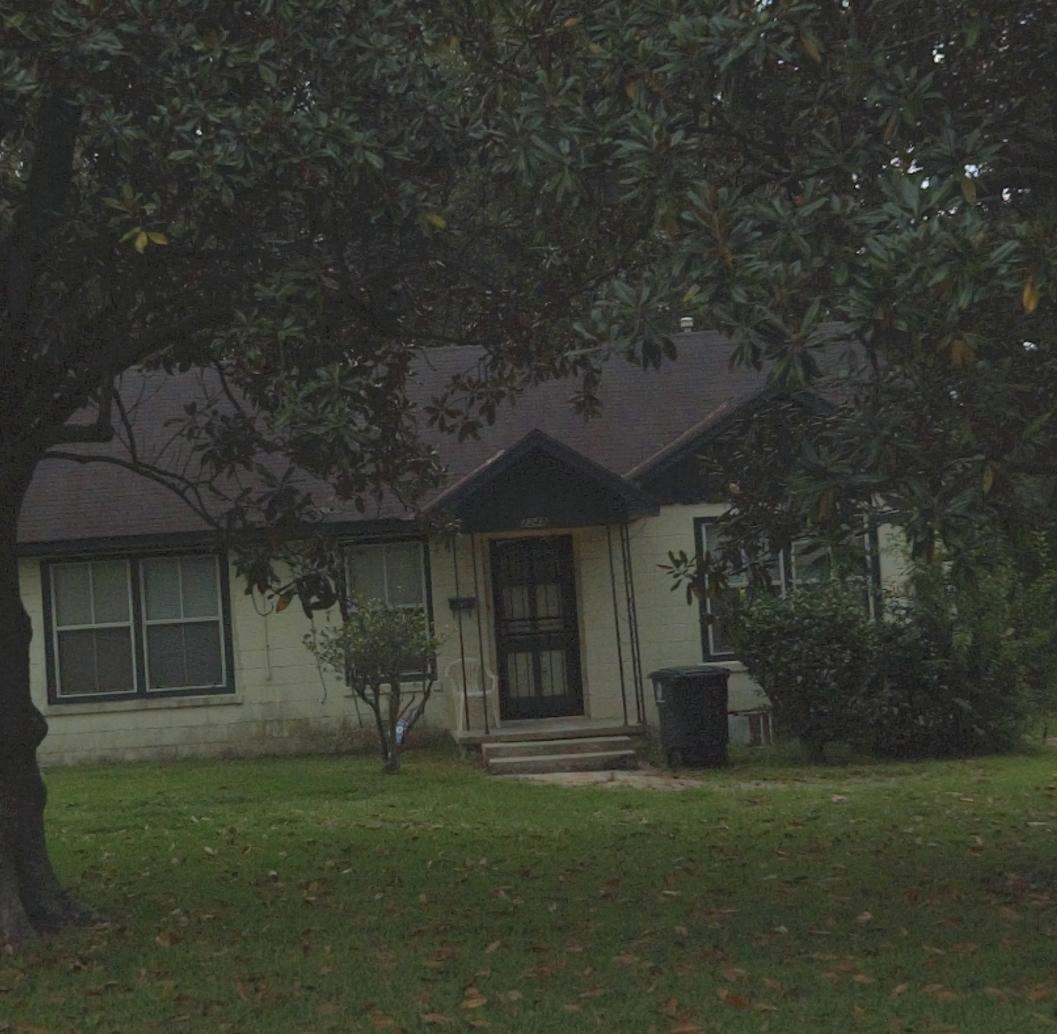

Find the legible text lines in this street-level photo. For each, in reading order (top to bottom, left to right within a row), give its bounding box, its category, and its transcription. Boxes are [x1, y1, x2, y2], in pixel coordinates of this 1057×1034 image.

[520, 518, 547, 527] StreetNumber: 2245